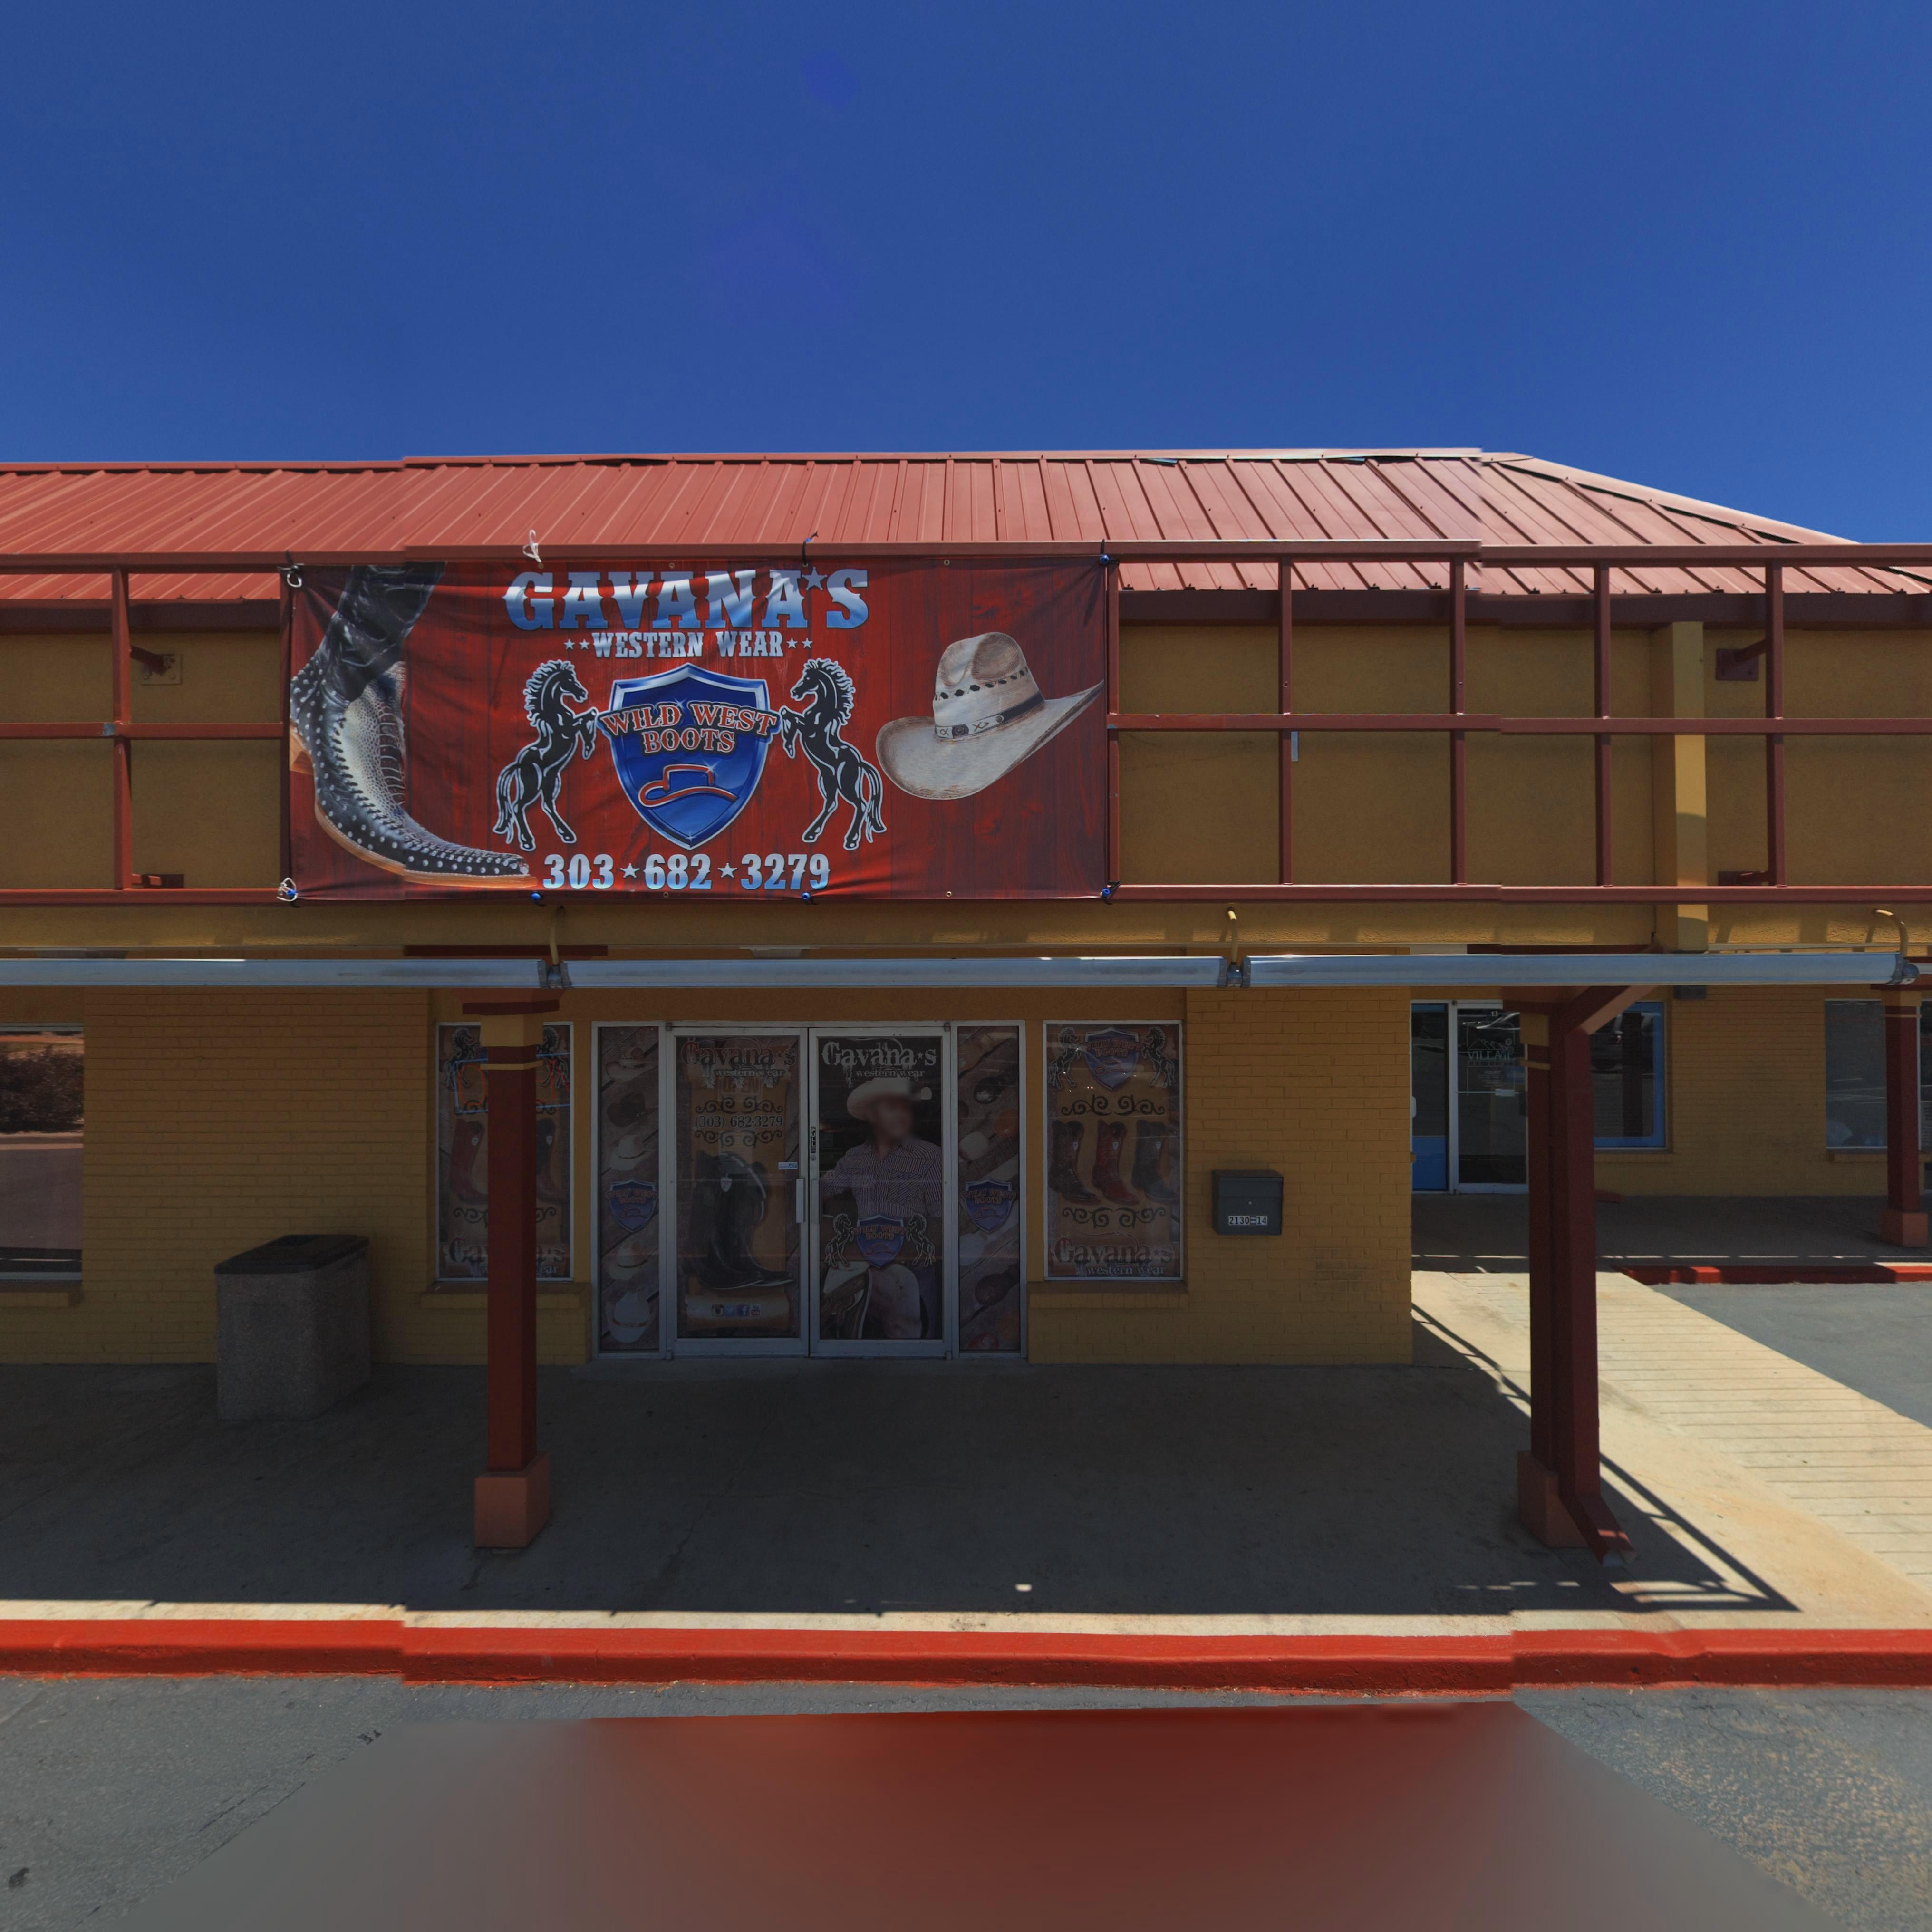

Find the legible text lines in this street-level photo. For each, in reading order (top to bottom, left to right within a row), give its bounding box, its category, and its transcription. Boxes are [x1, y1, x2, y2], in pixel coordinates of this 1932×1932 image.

[501, 566, 873, 632] BusinessName: GAVANA*S
[589, 630, 786, 658] BusinessName: WESTERN WEAR
[679, 1039, 797, 1067] BusinessName: Cavana*s
[821, 1040, 937, 1067] BusinessName: Cavana*s
[1053, 1236, 1176, 1265] BusinessName: avana*s